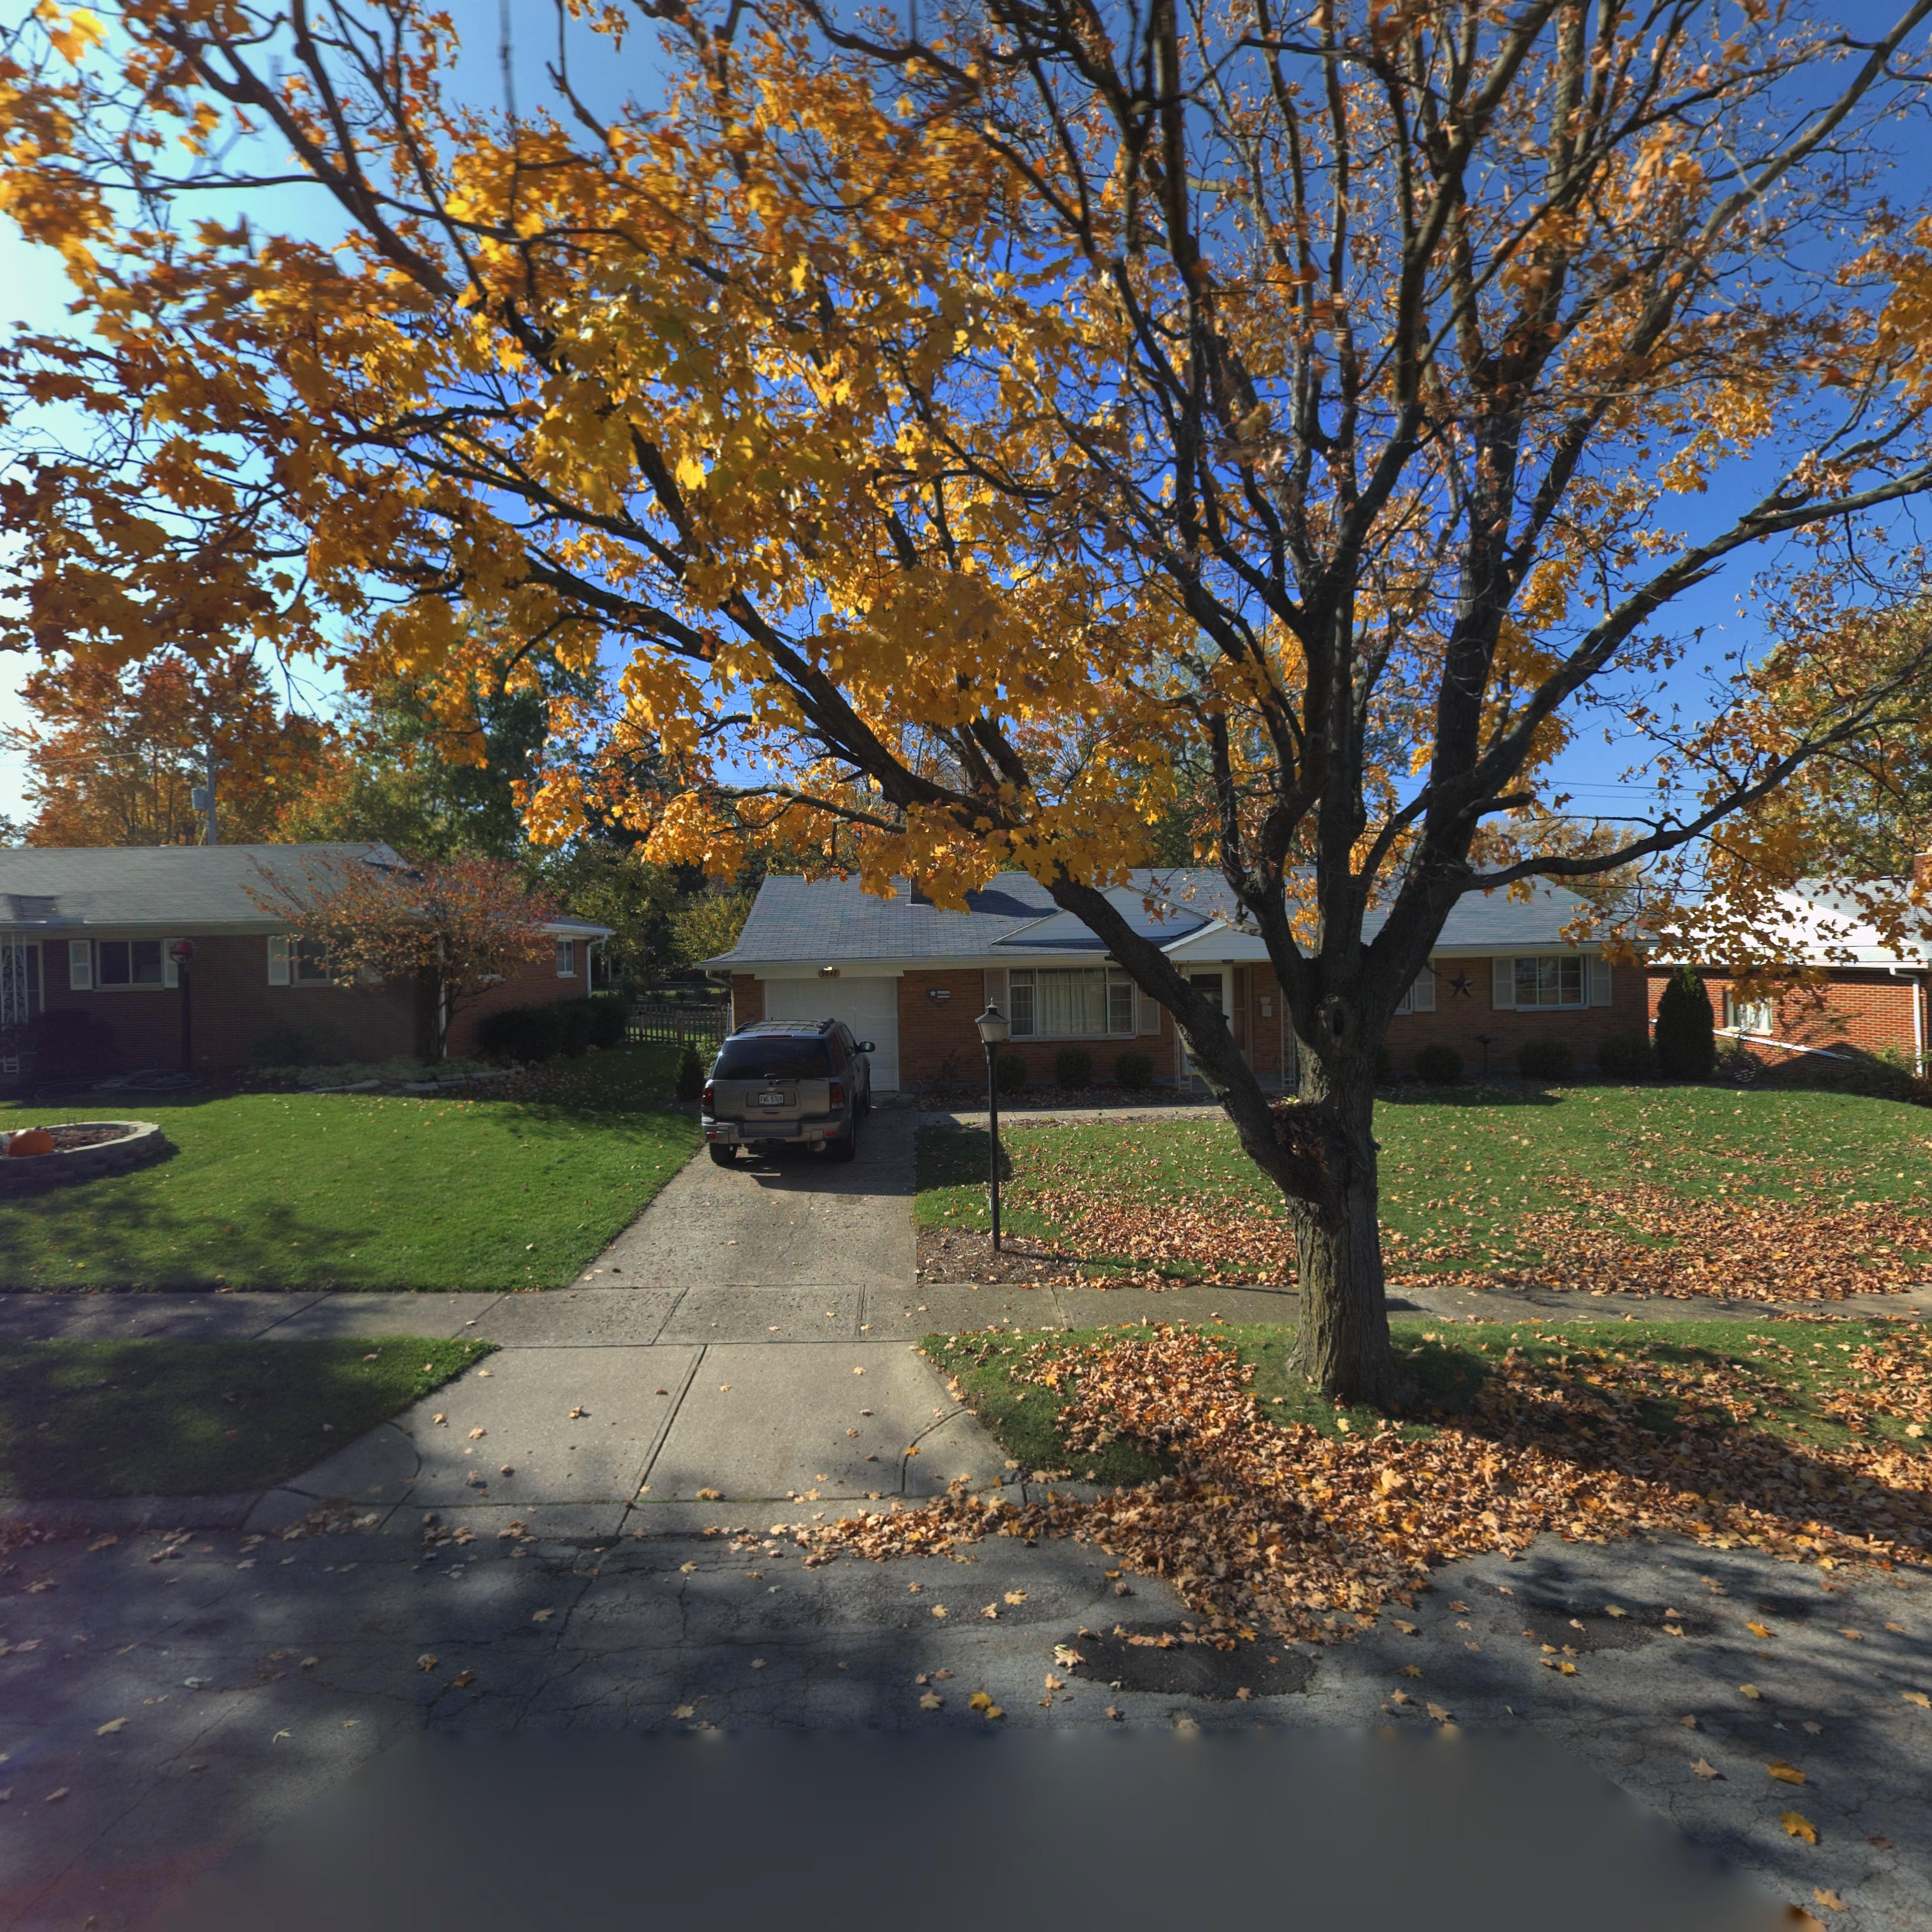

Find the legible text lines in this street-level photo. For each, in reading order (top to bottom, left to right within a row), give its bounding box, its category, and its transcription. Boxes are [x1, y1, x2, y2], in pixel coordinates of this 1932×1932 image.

[821, 970, 839, 977] StreetNumber: 3847
[759, 1095, 783, 1104] None: FWG 9769